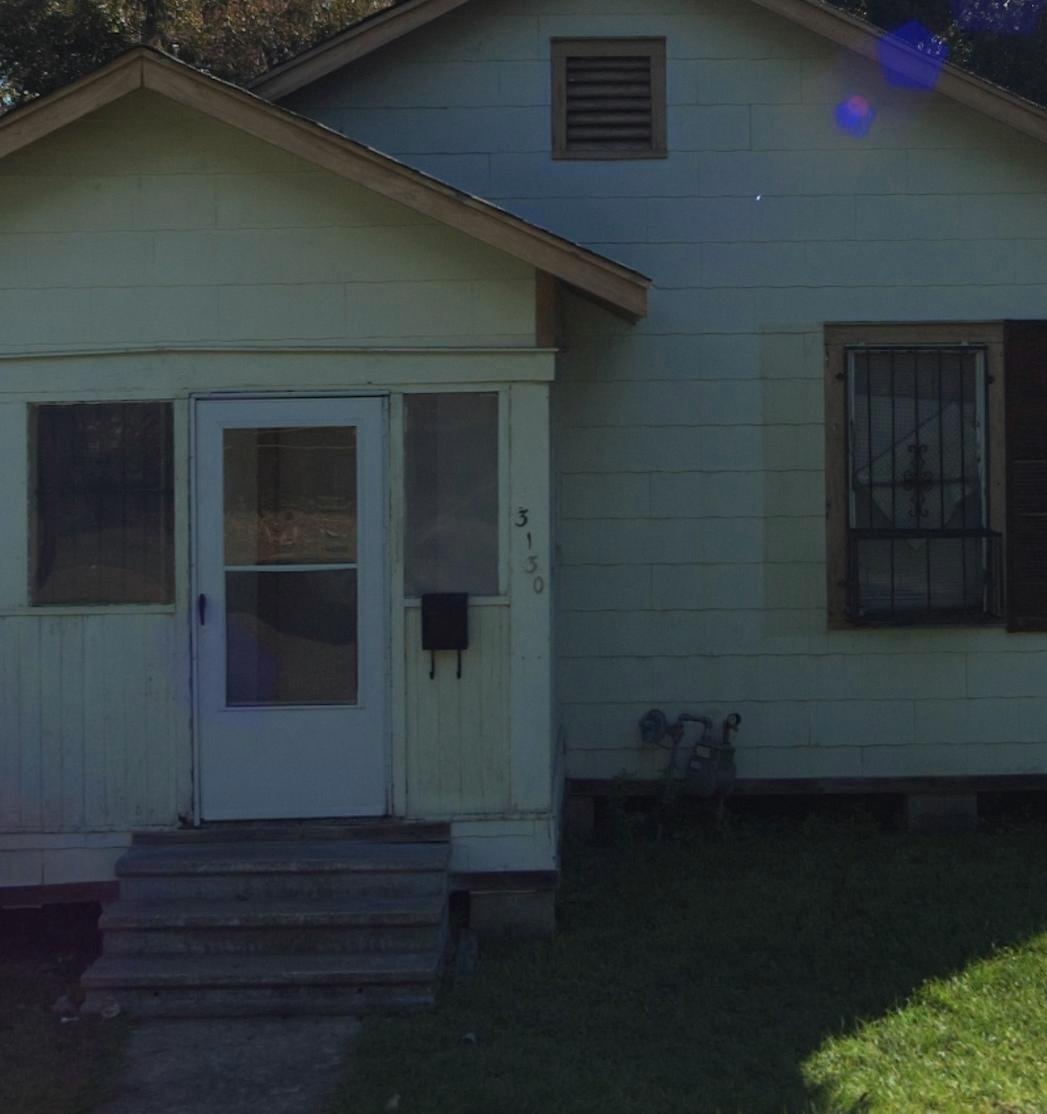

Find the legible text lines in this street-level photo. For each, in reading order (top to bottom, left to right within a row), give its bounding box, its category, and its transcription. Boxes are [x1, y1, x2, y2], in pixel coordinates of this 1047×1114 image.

[511, 505, 547, 596] StreetNumber: 3130